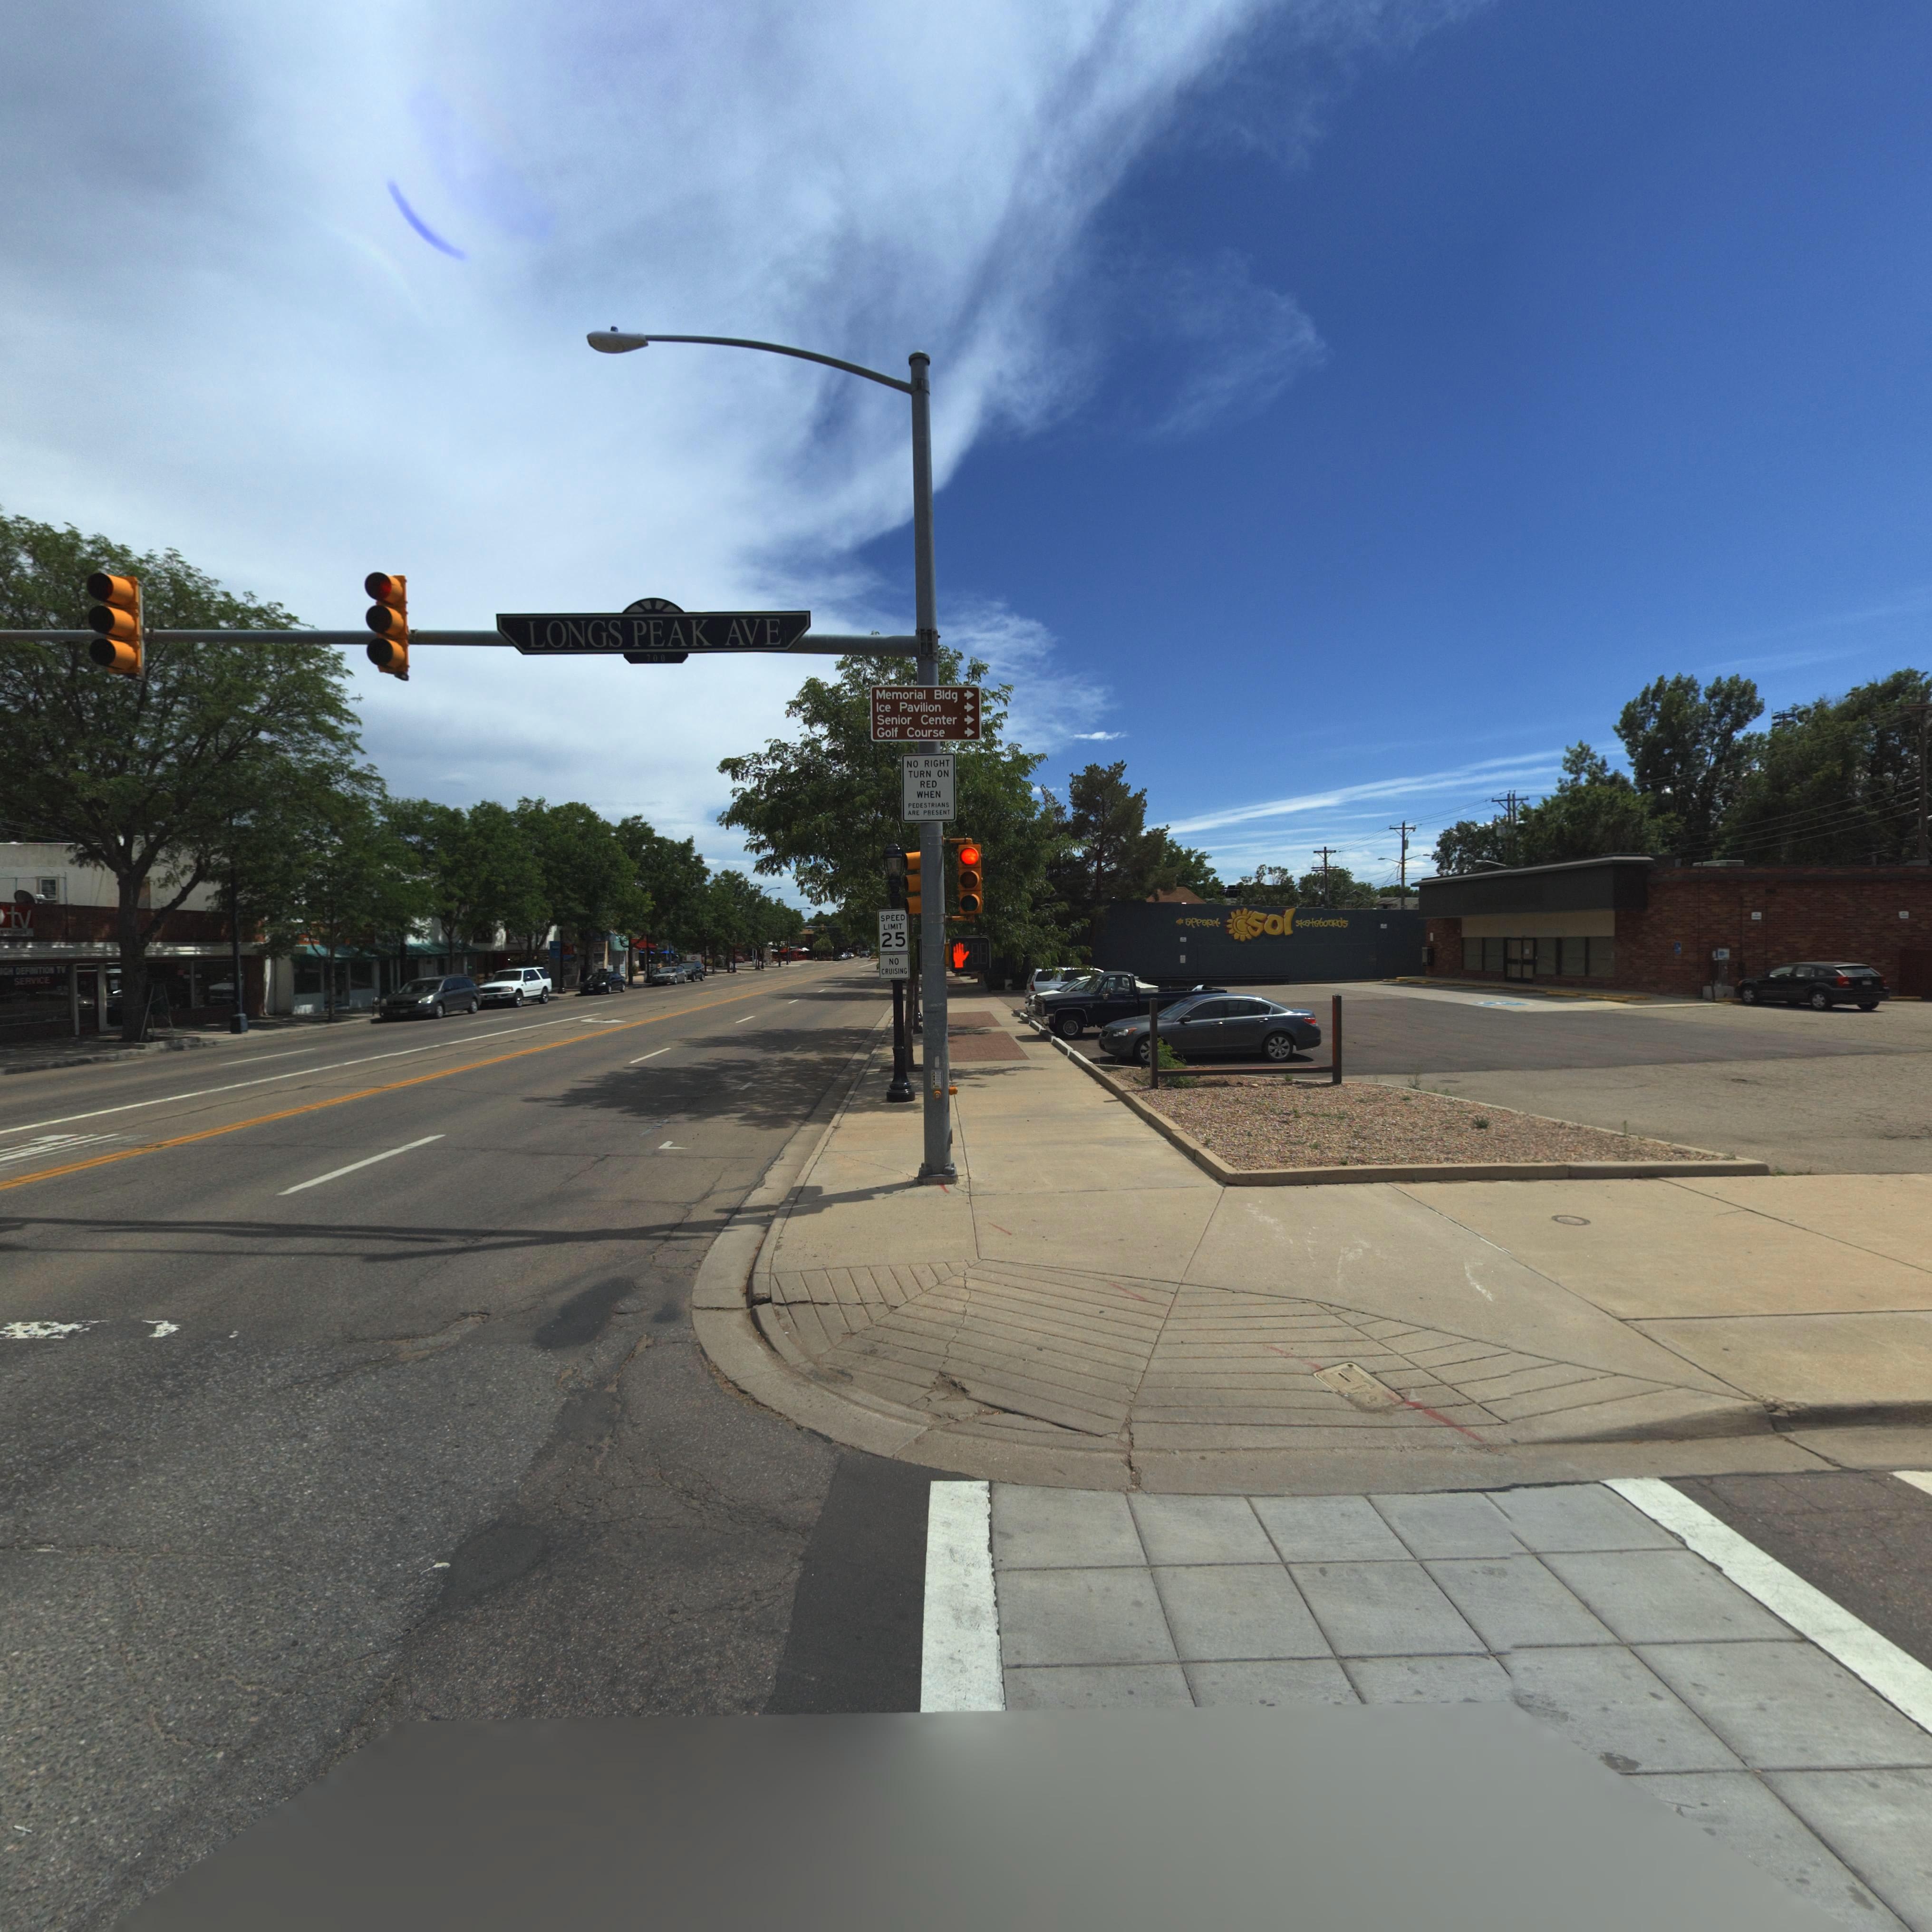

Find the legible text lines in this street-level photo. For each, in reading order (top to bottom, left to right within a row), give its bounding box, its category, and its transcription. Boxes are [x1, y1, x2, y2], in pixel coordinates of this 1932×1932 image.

[526, 618, 782, 648] StreetName: LONGS PEAK AVE
[646, 653, 666, 662] StreetNumberRange: 700
[5, 906, 32, 930] BusinessName: tv
[1245, 907, 1296, 937] BusinessName: SOL